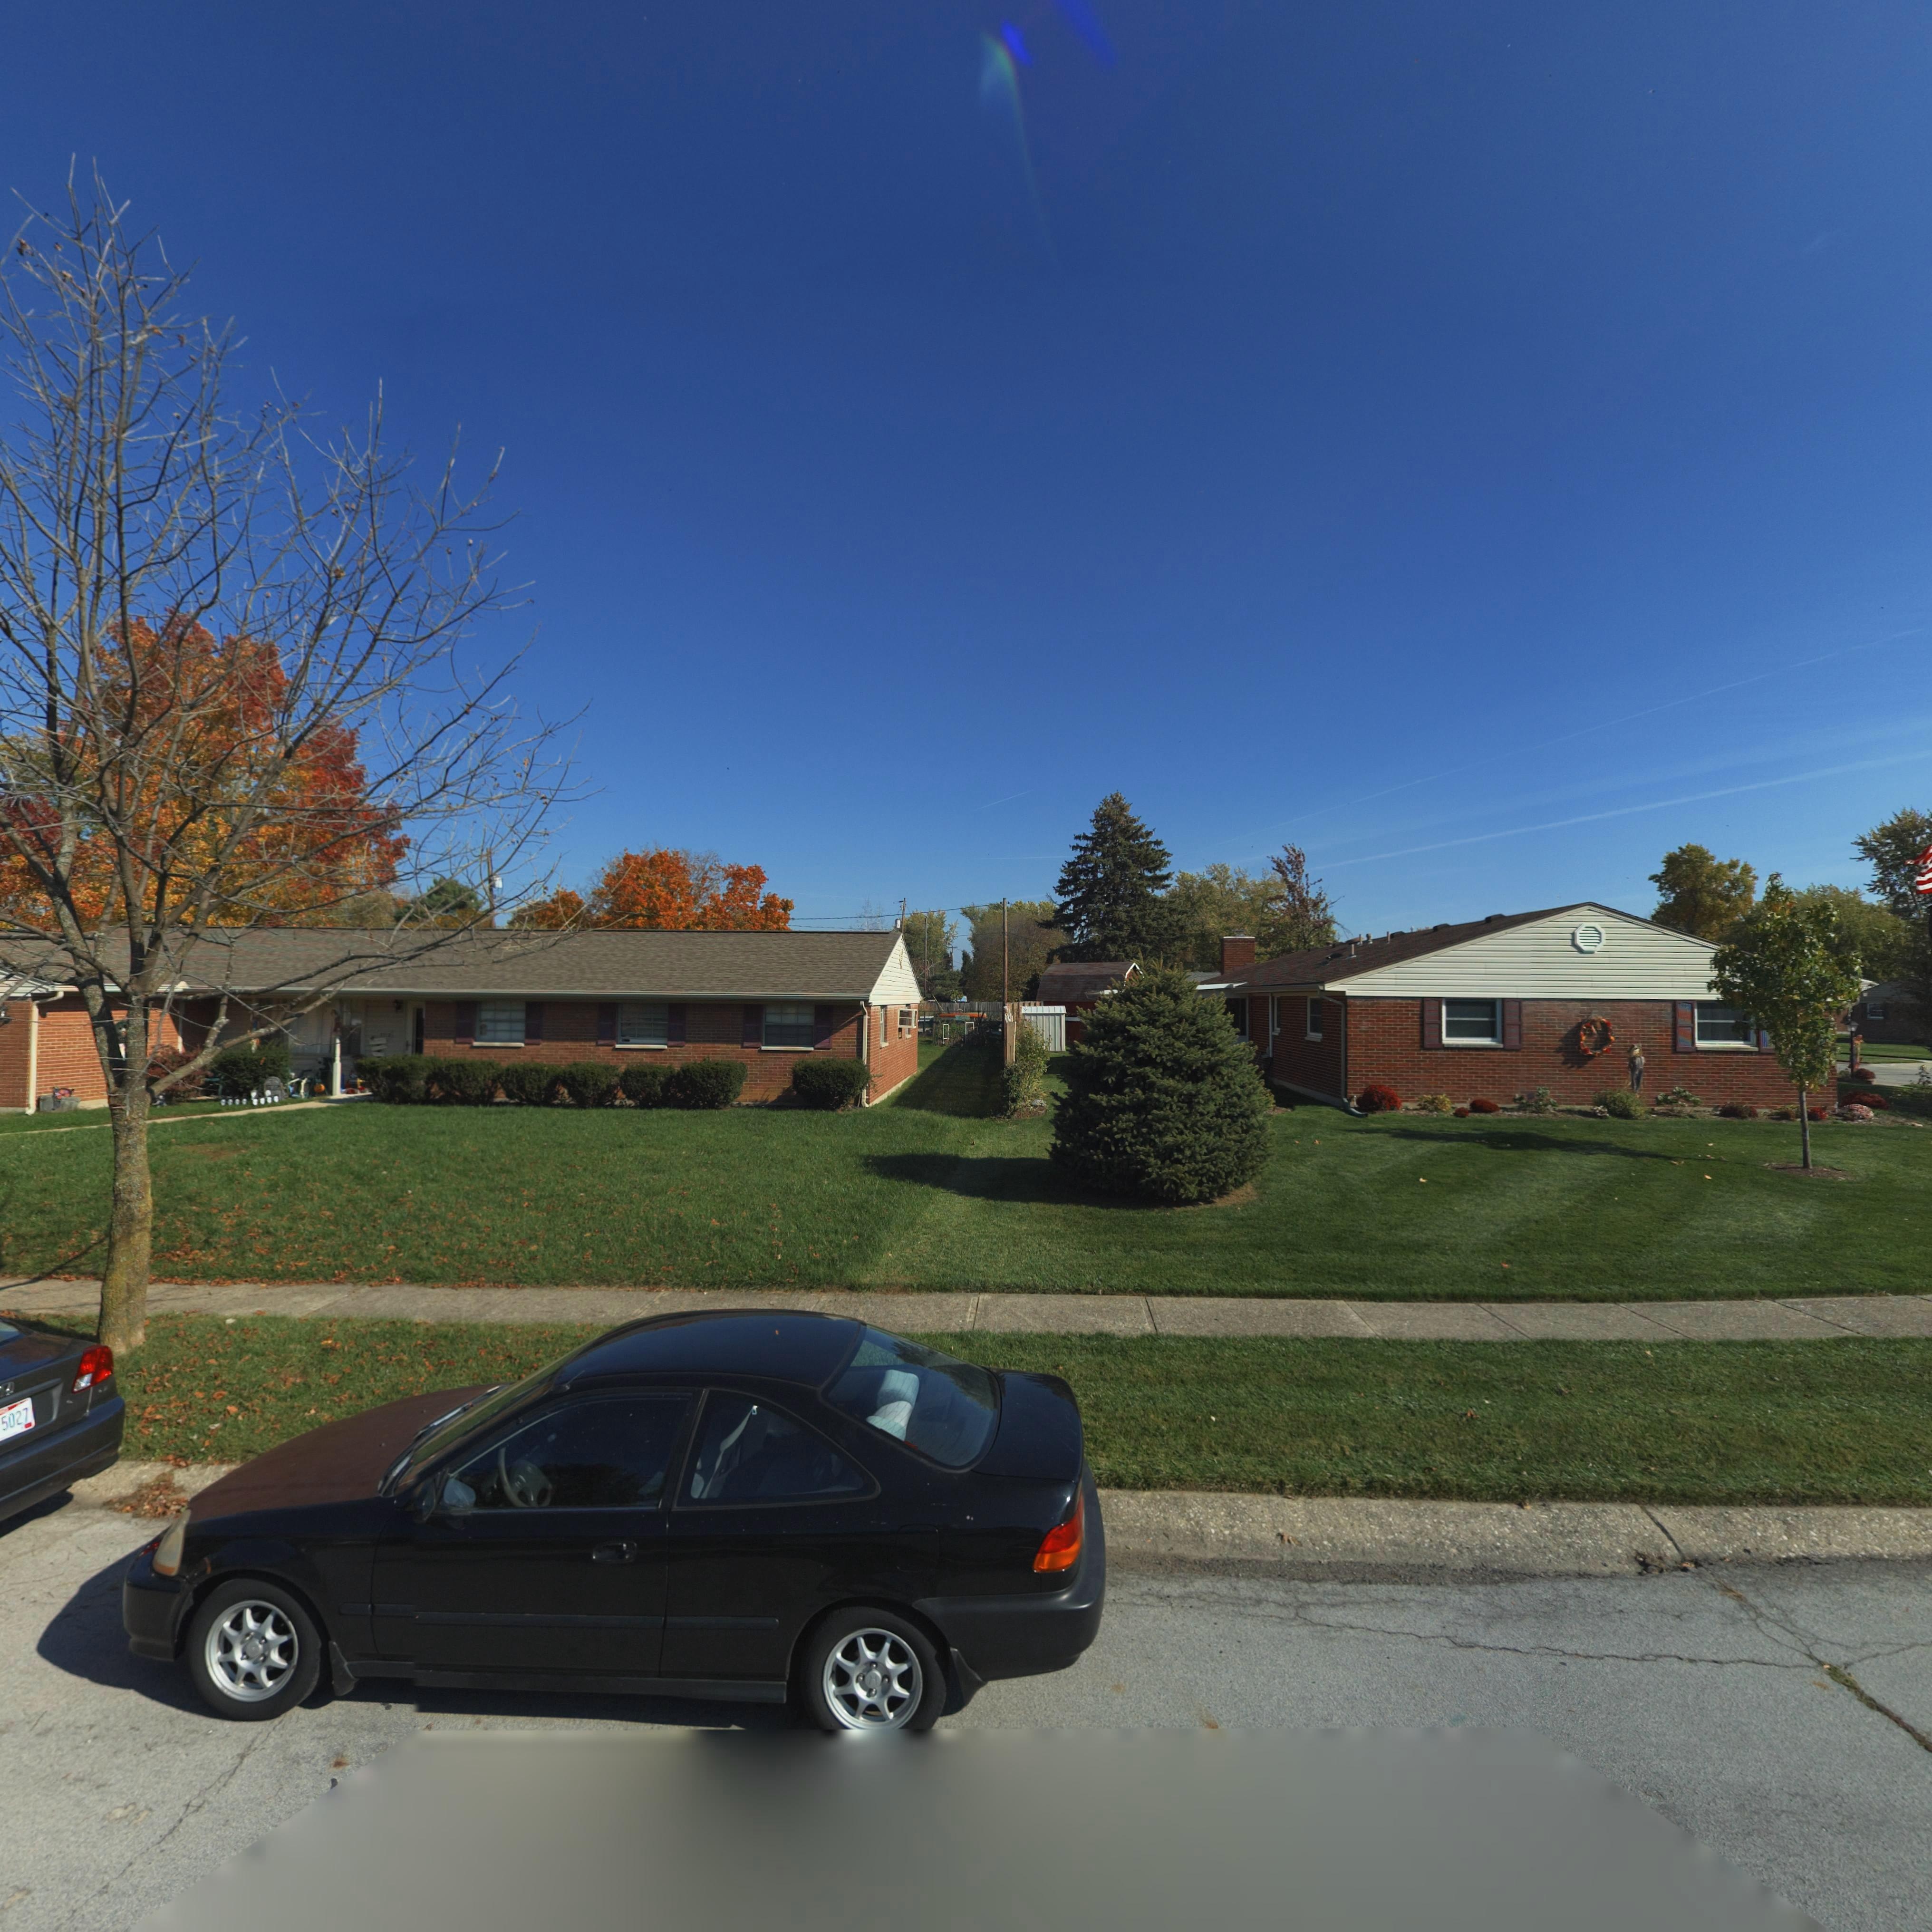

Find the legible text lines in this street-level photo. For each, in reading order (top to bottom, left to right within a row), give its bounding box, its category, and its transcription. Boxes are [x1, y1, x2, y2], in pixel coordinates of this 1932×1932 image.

[0, 1404, 30, 1432] None: 5027